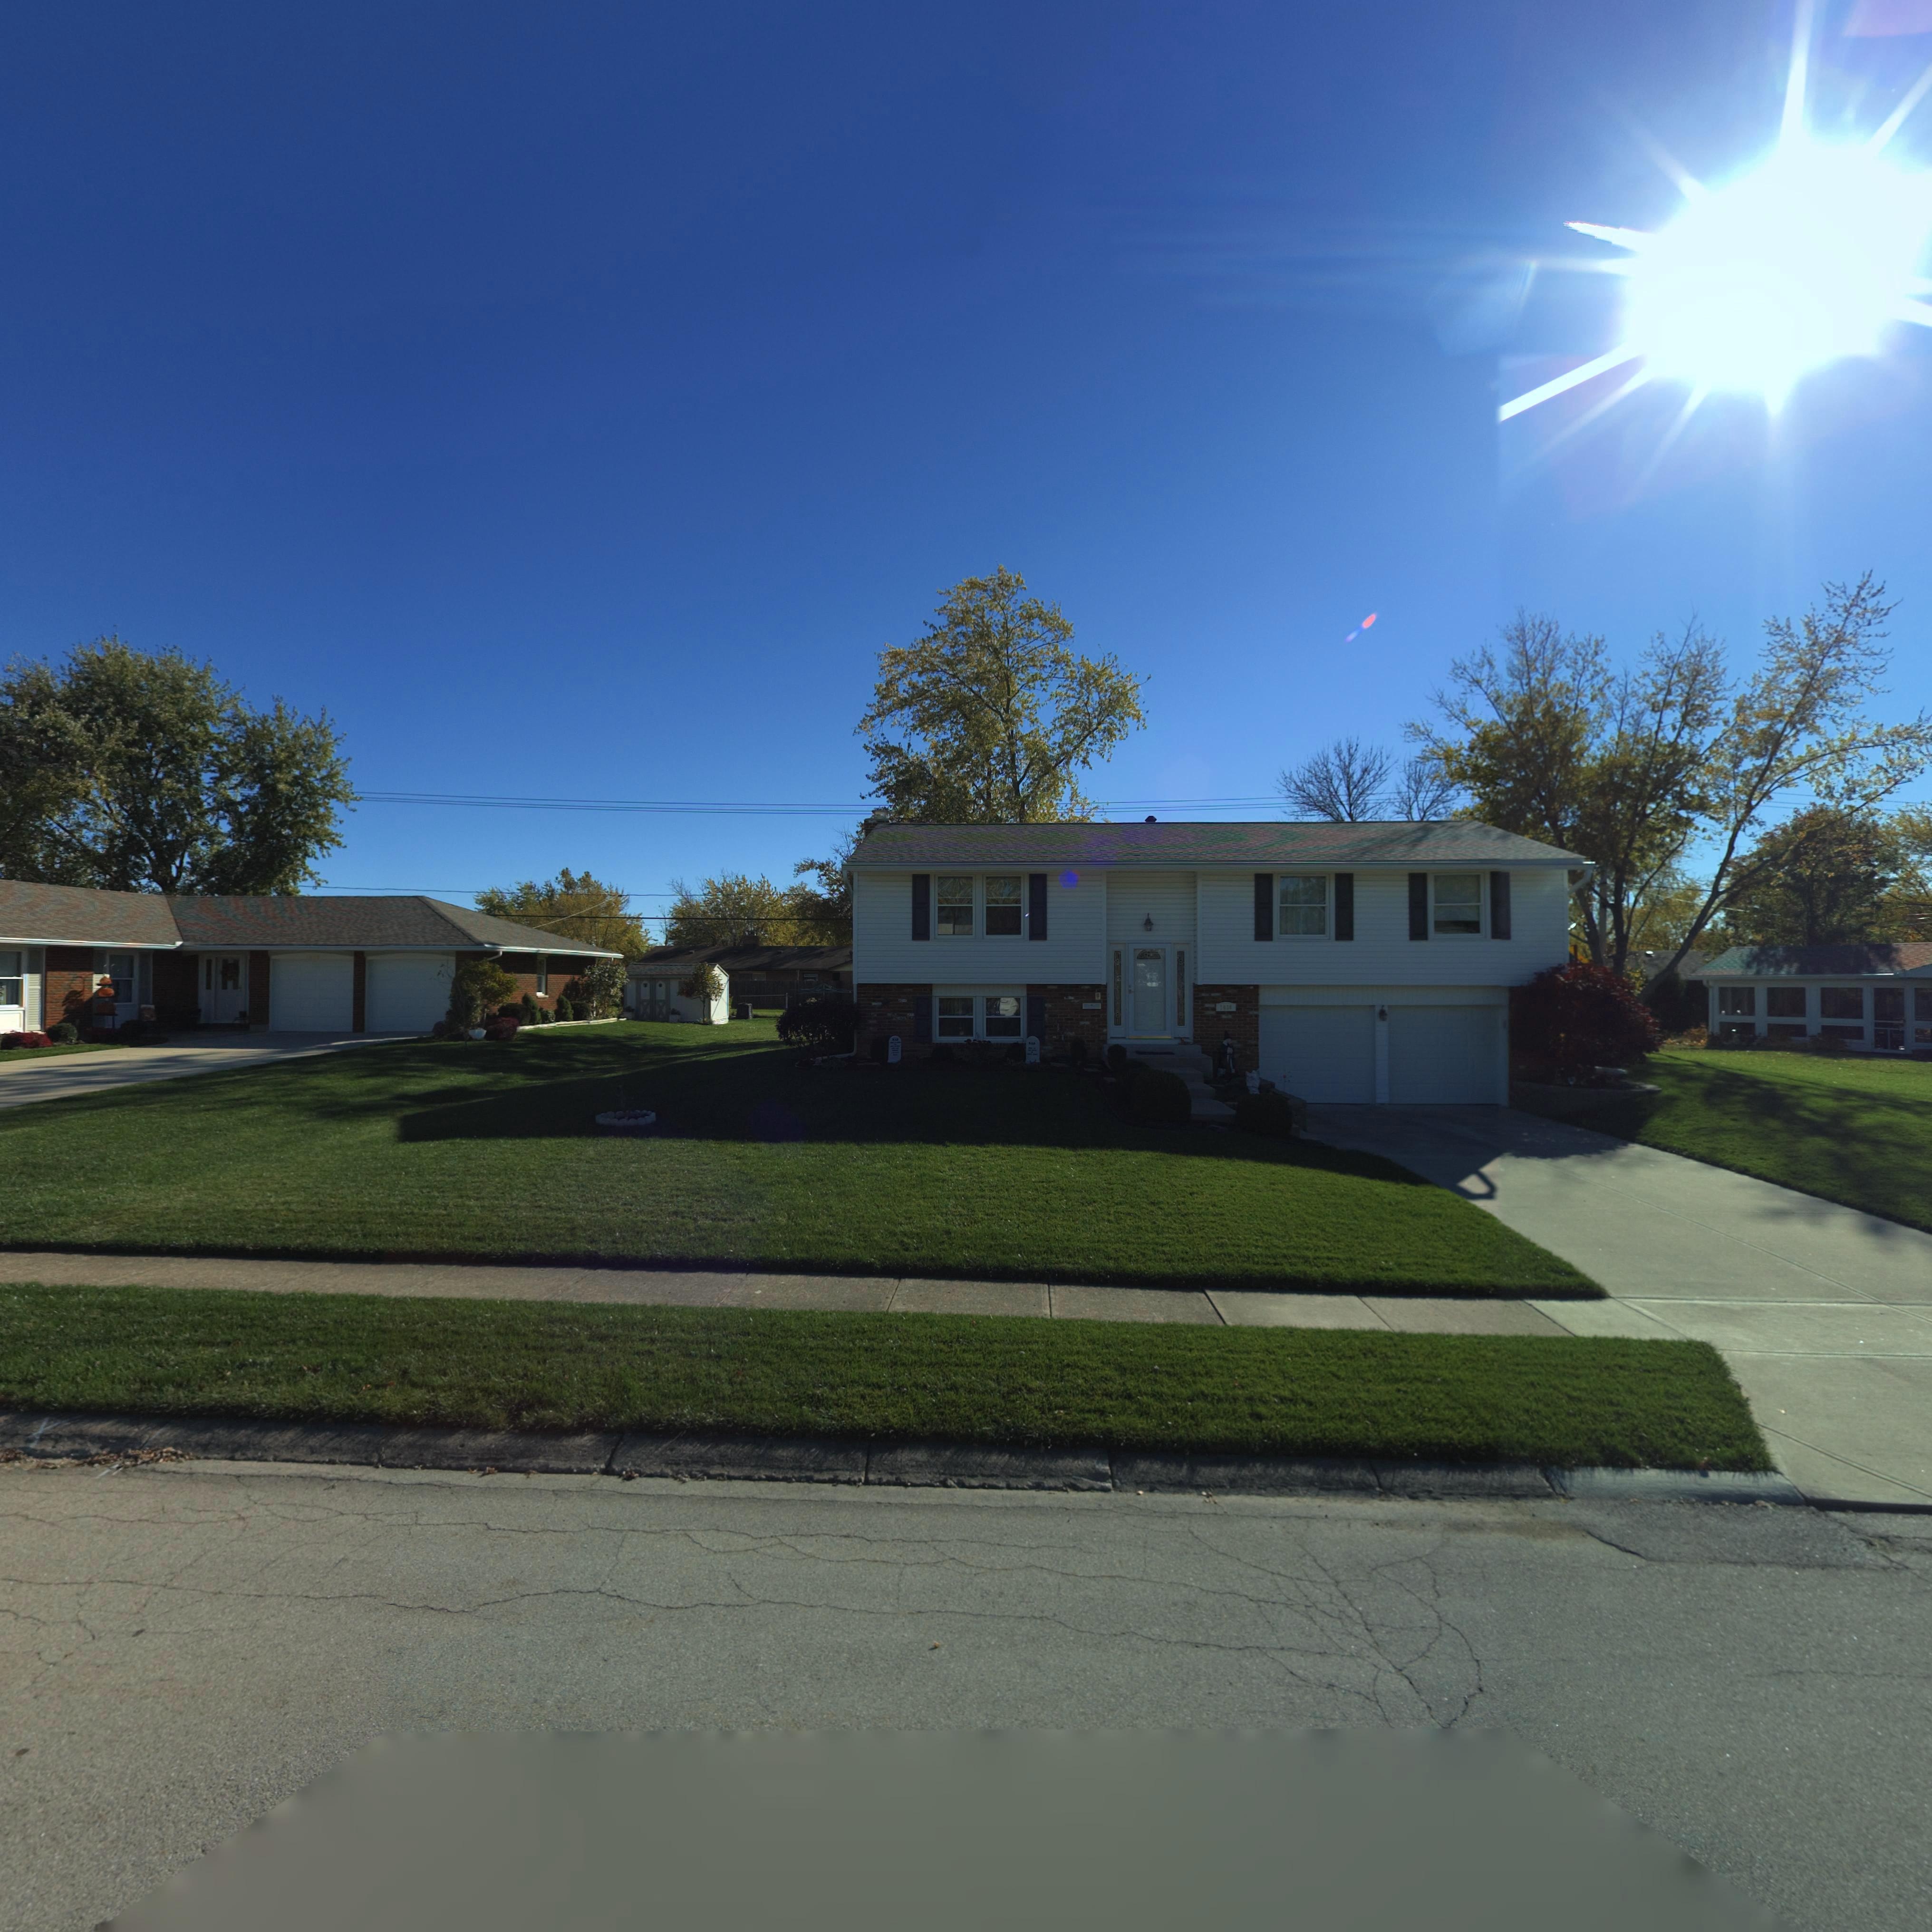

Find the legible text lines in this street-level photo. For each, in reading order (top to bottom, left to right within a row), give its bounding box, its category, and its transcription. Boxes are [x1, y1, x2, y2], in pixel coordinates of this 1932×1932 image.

[1218, 1004, 1234, 1012] StreetNumber: 7*3*